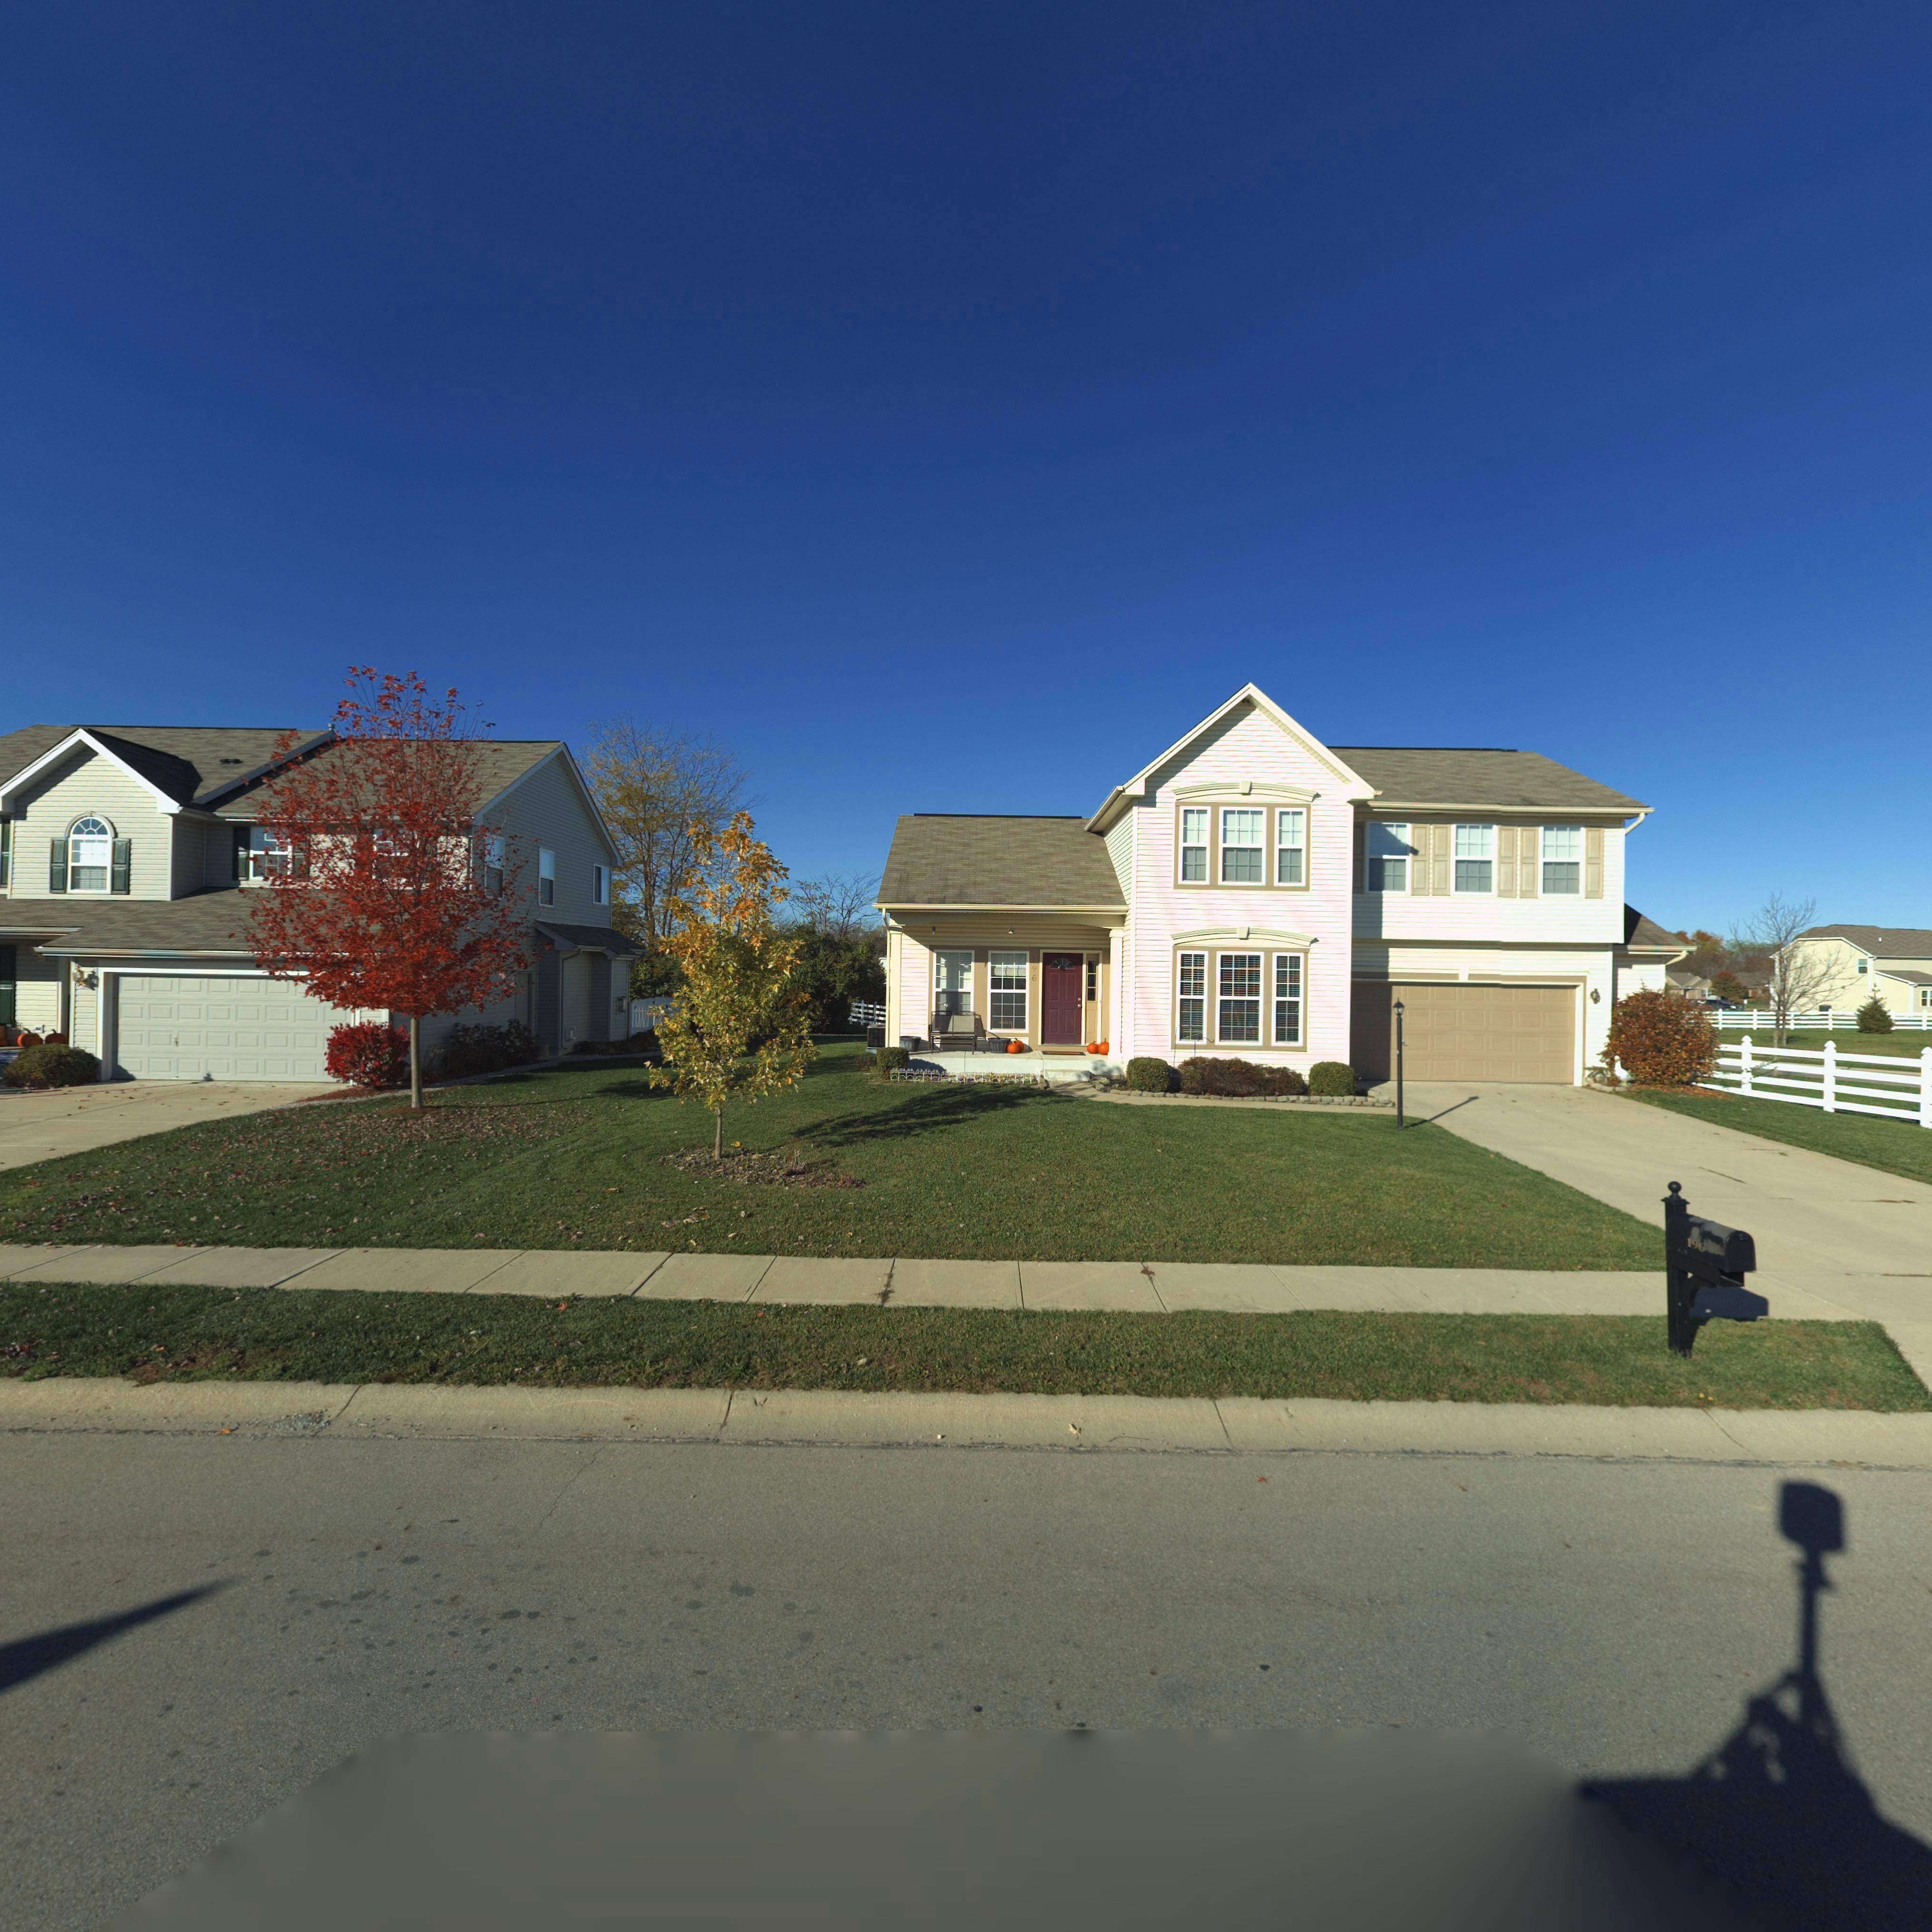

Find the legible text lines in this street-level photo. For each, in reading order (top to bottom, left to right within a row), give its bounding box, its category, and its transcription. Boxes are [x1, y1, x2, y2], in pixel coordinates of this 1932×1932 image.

[1031, 955, 1038, 983] StreetNumber: *96
[1685, 1236, 1706, 1254] StreetNumber: 196